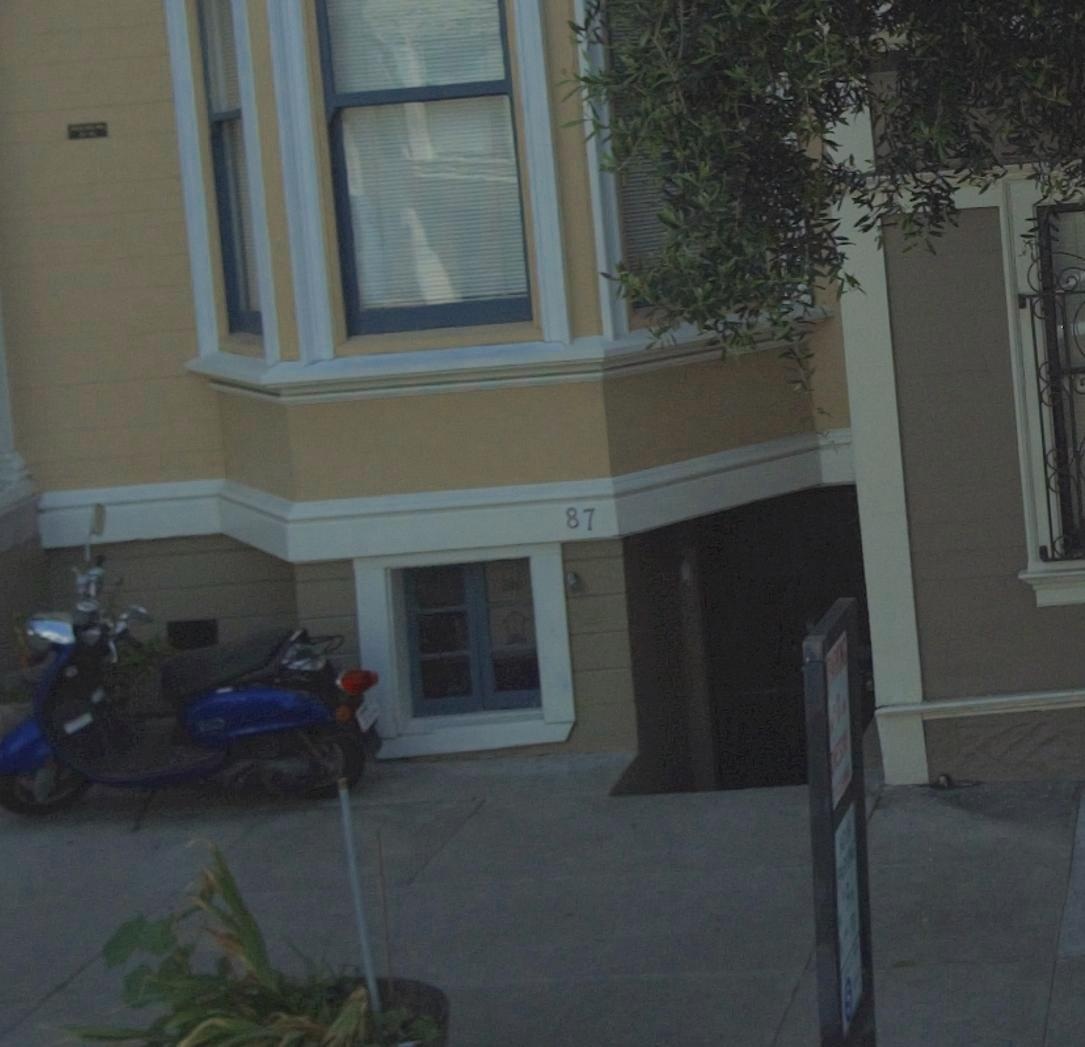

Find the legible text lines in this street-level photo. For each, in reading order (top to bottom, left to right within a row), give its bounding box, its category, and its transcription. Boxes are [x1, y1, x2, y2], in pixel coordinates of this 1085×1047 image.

[565, 505, 597, 531] StreetNumber: 87